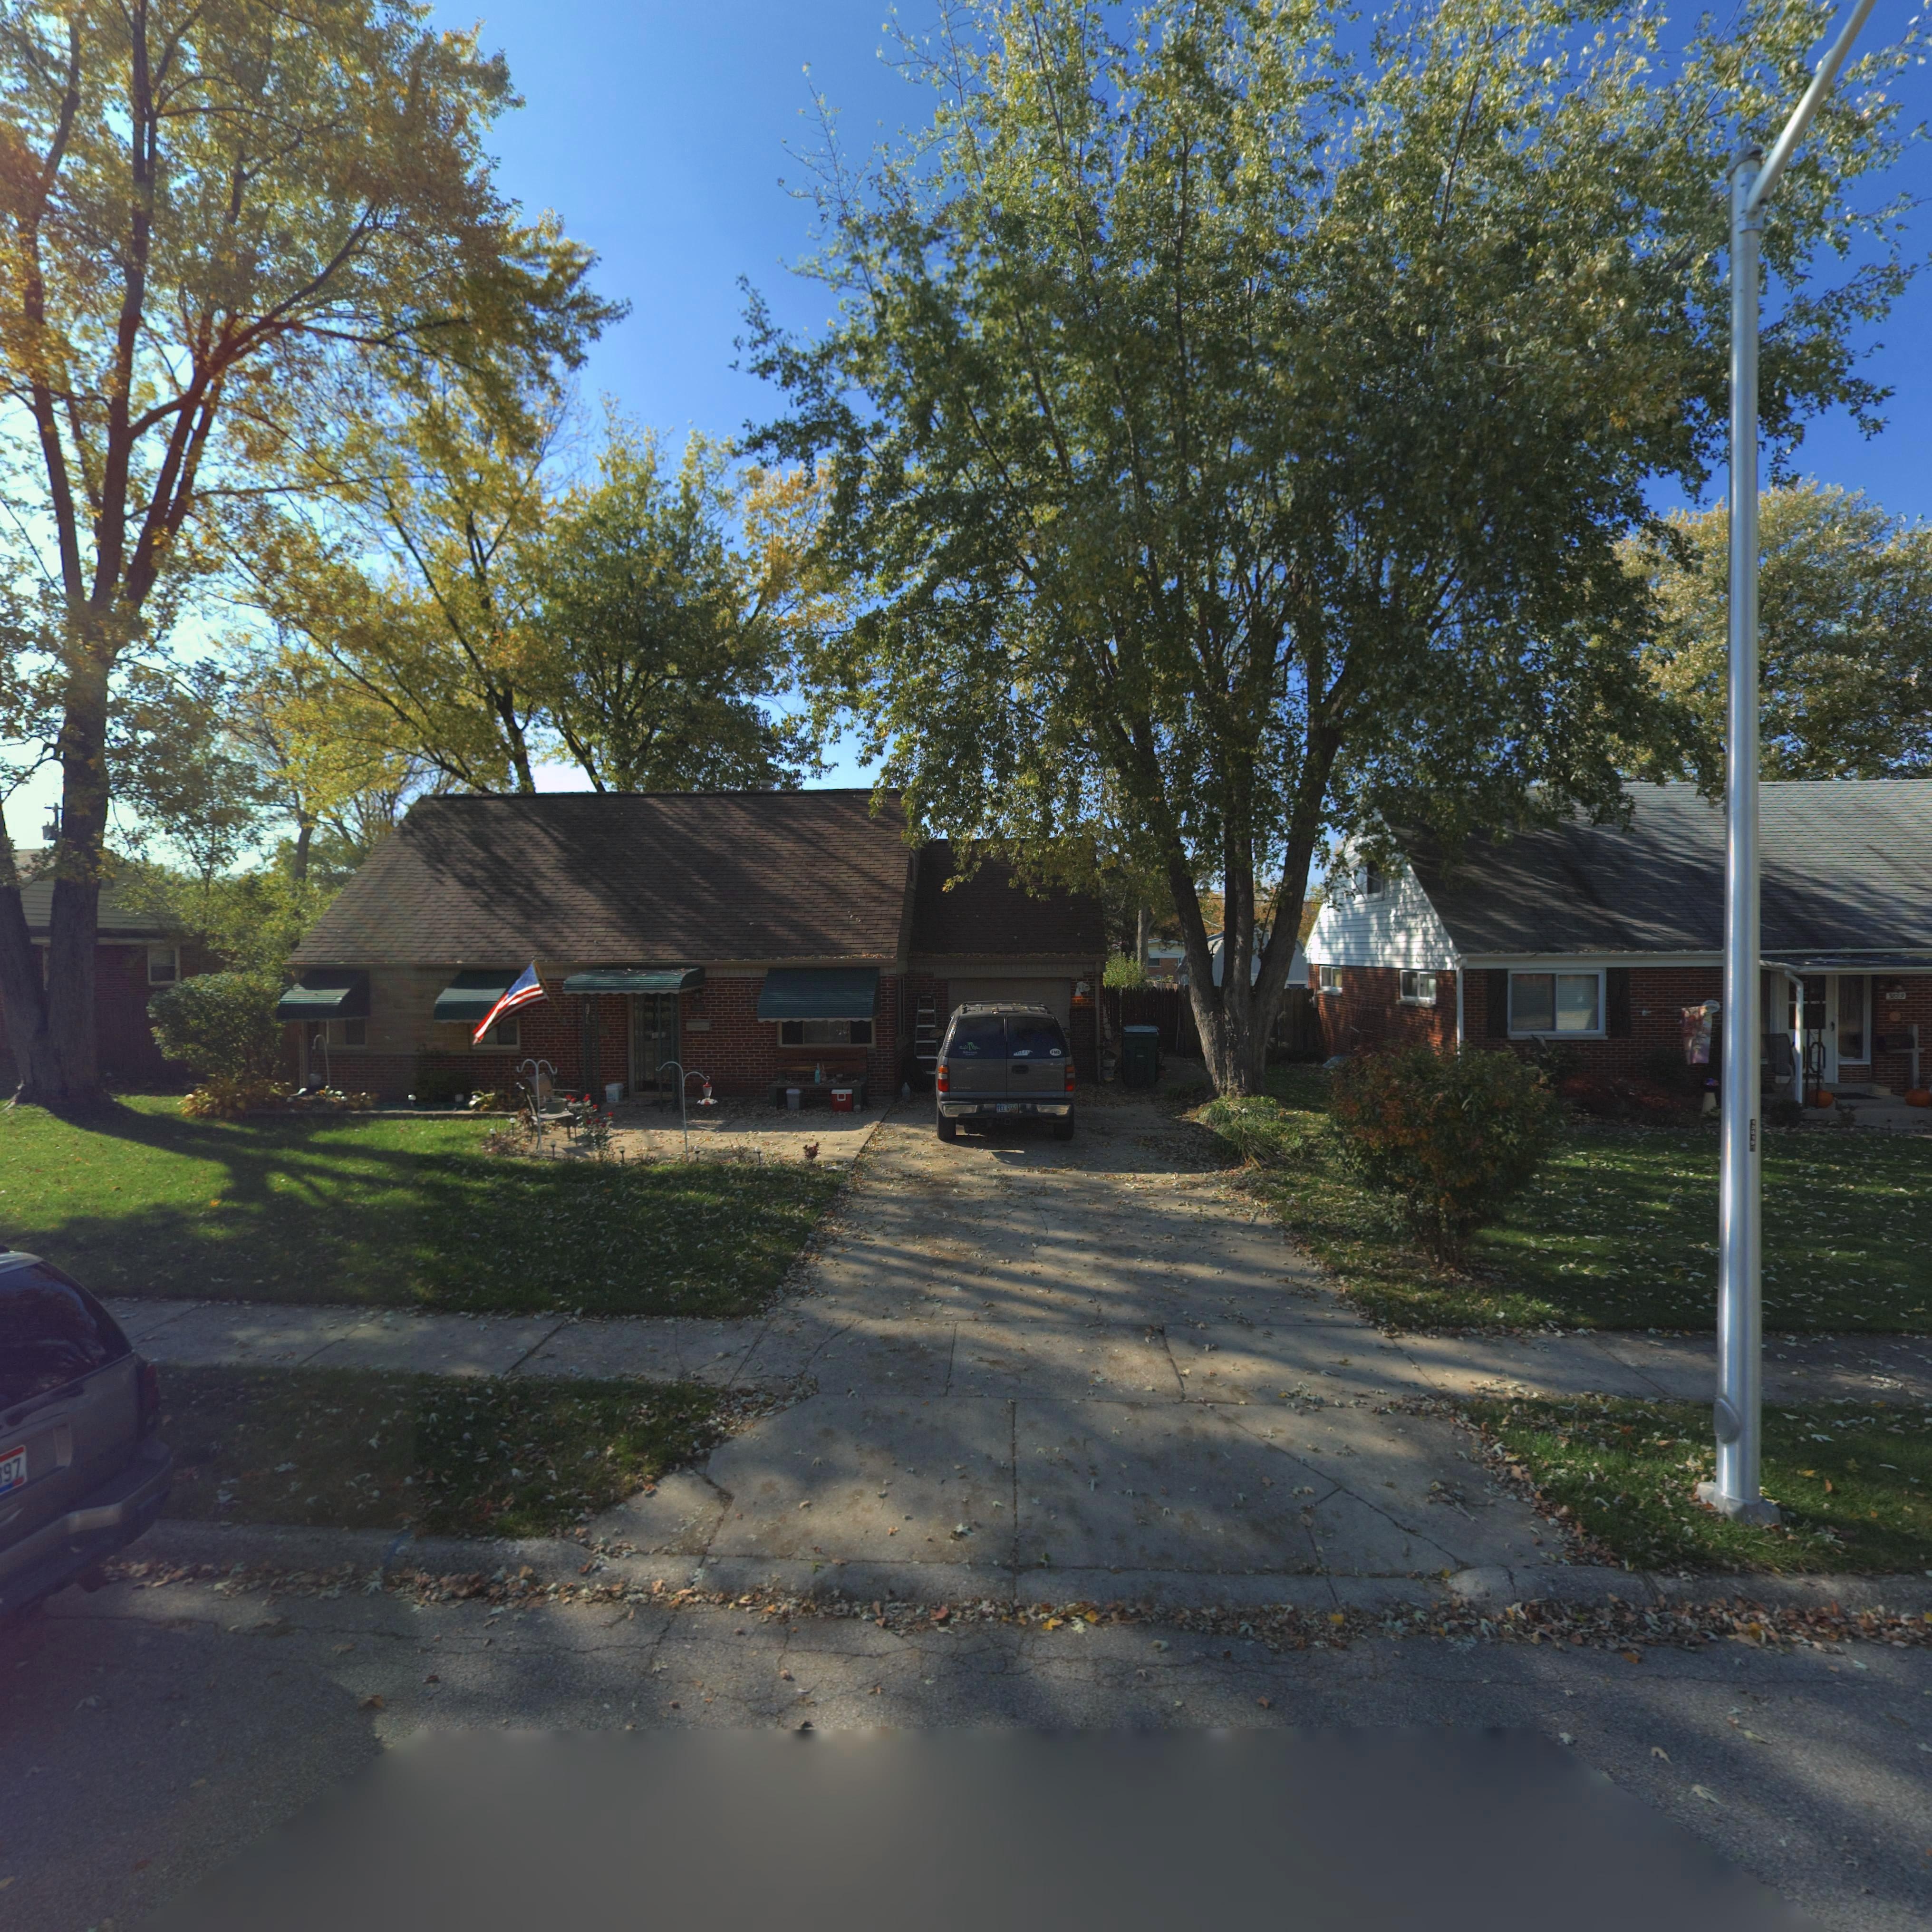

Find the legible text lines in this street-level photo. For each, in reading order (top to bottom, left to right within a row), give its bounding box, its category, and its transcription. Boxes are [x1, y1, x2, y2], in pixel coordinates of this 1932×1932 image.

[1887, 993, 1905, 999] StreetNumber: 388*
[1051, 1050, 1060, 1054] None: FMB
[997, 1105, 1018, 1112] None: FEE*6550
[1750, 1119, 1756, 1145] None: 135**
[2, 1456, 21, 1484] None: 97